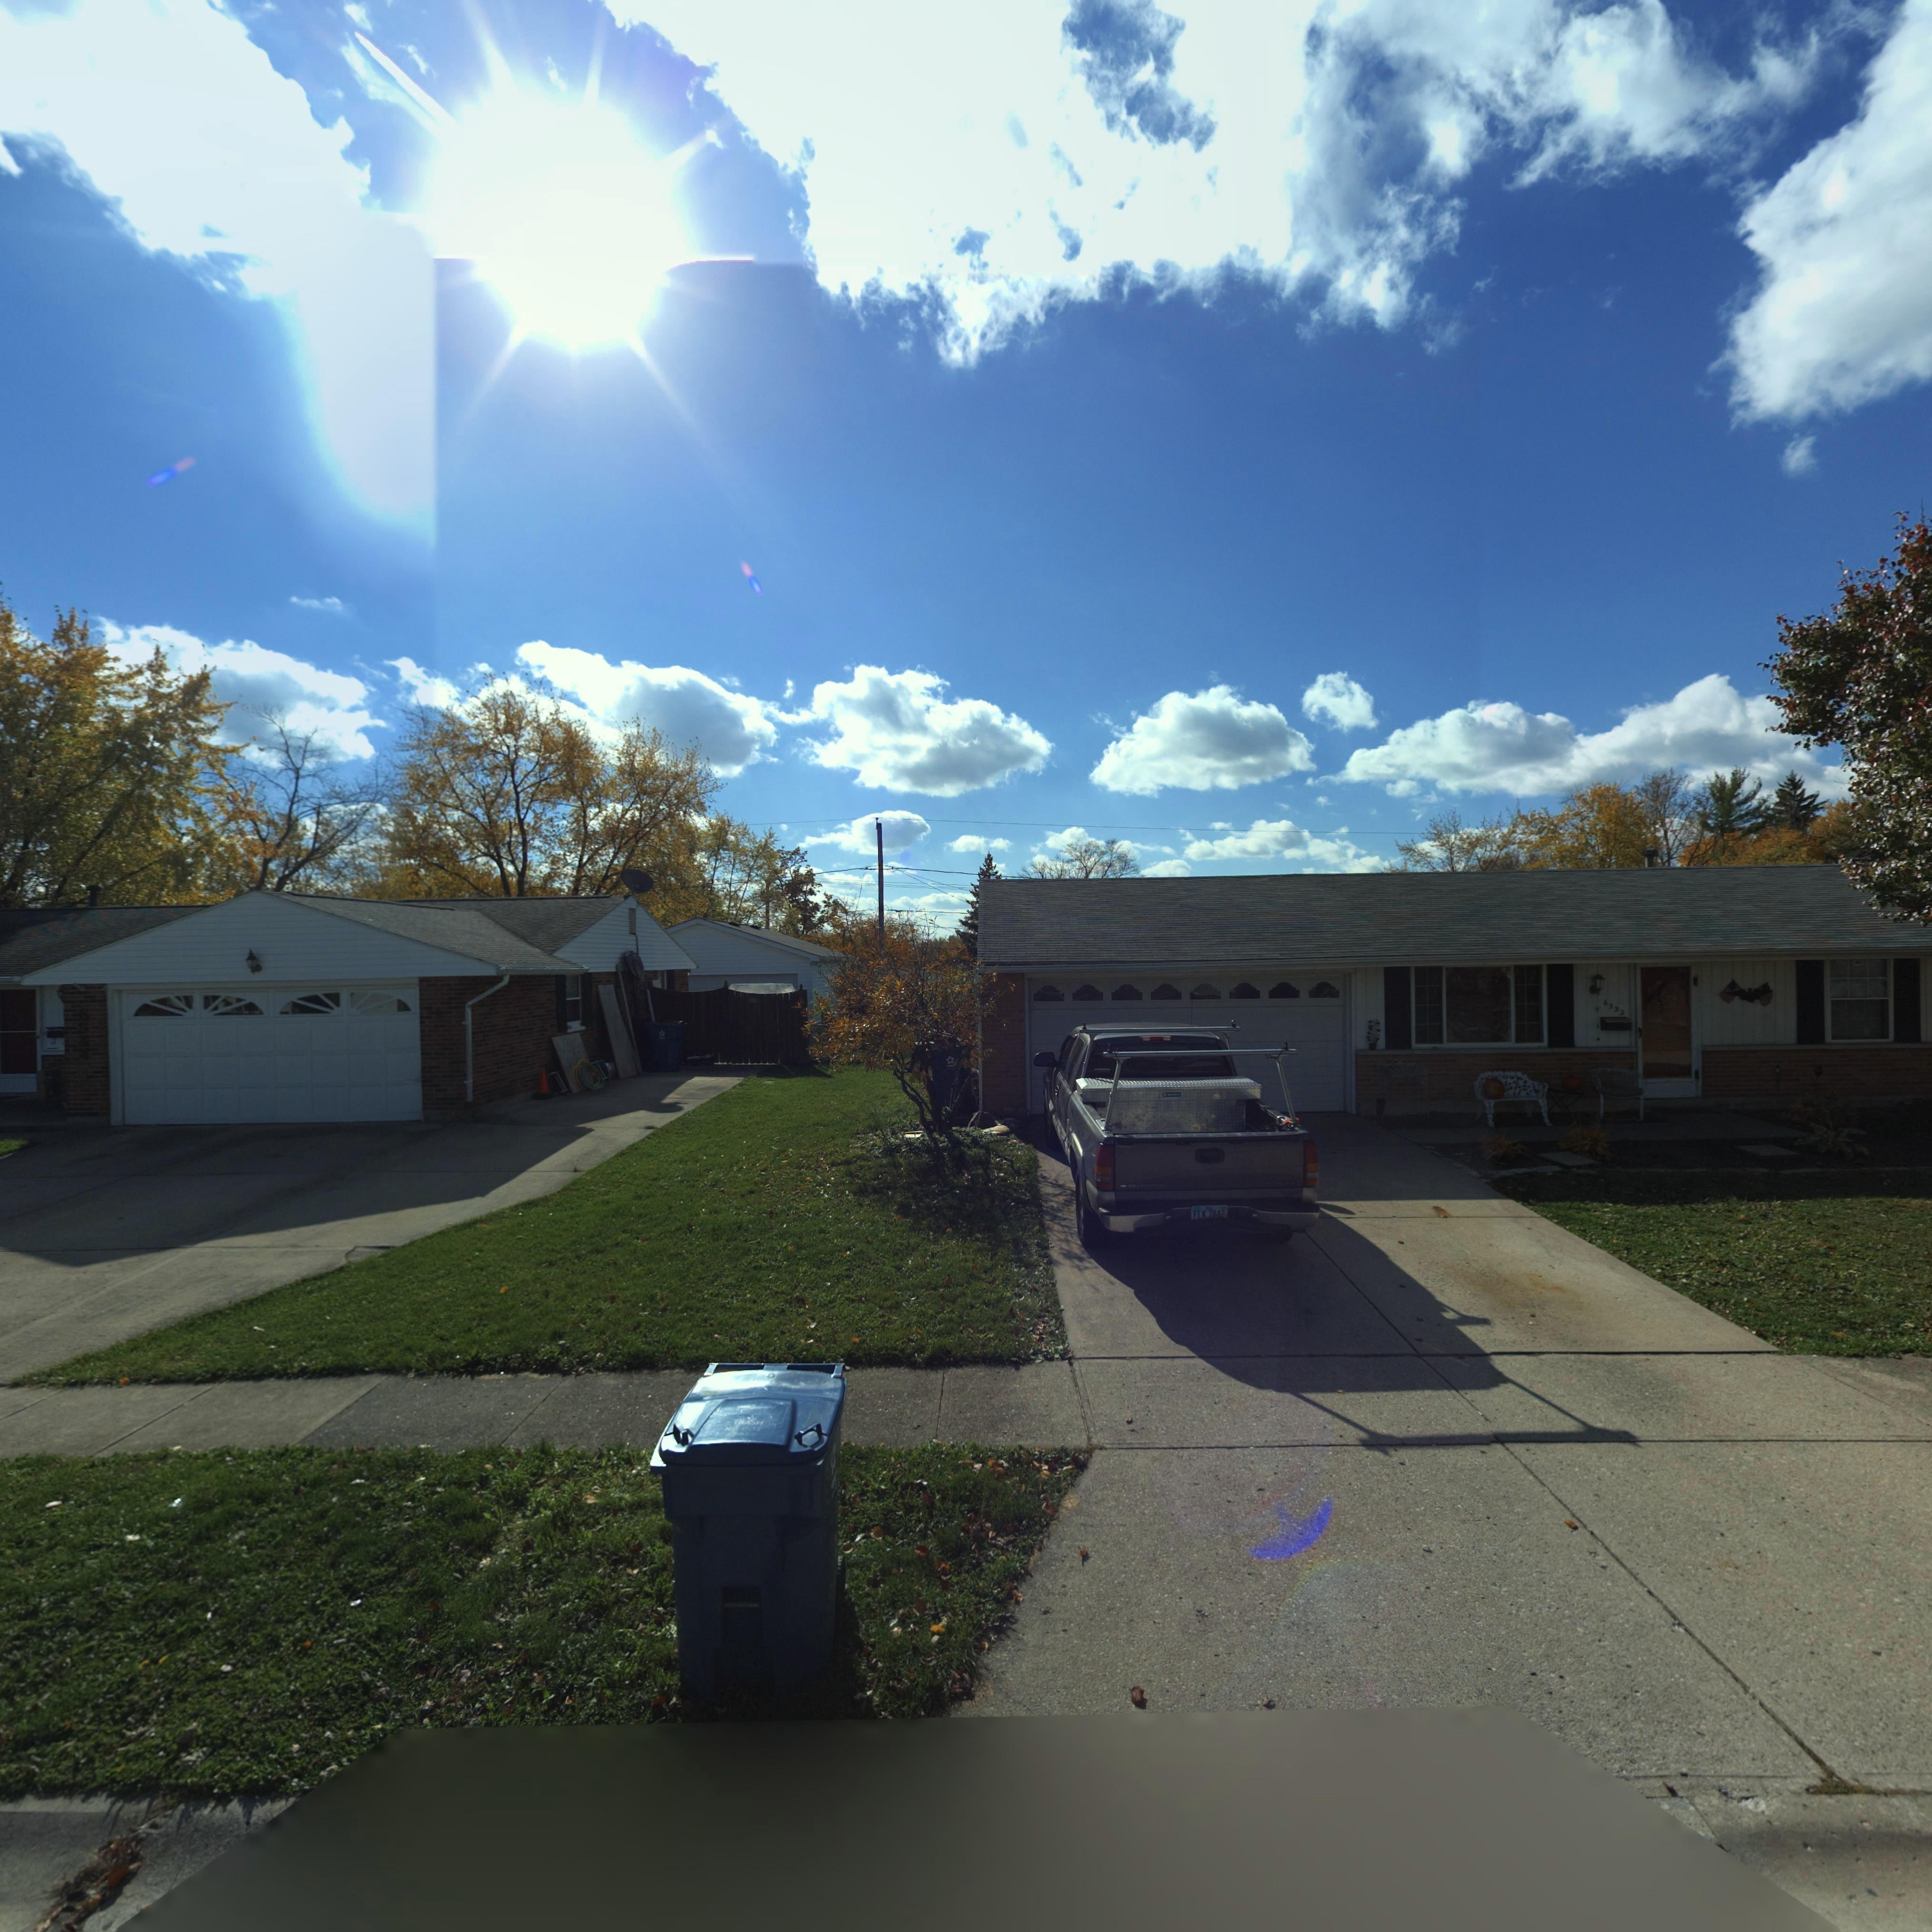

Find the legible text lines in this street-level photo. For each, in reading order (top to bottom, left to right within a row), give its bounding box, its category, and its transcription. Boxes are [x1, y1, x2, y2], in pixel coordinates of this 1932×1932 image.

[1603, 997, 1625, 1016] StreetNumber: 6532
[77, 1007, 90, 1062] StreetNumber: 65*4